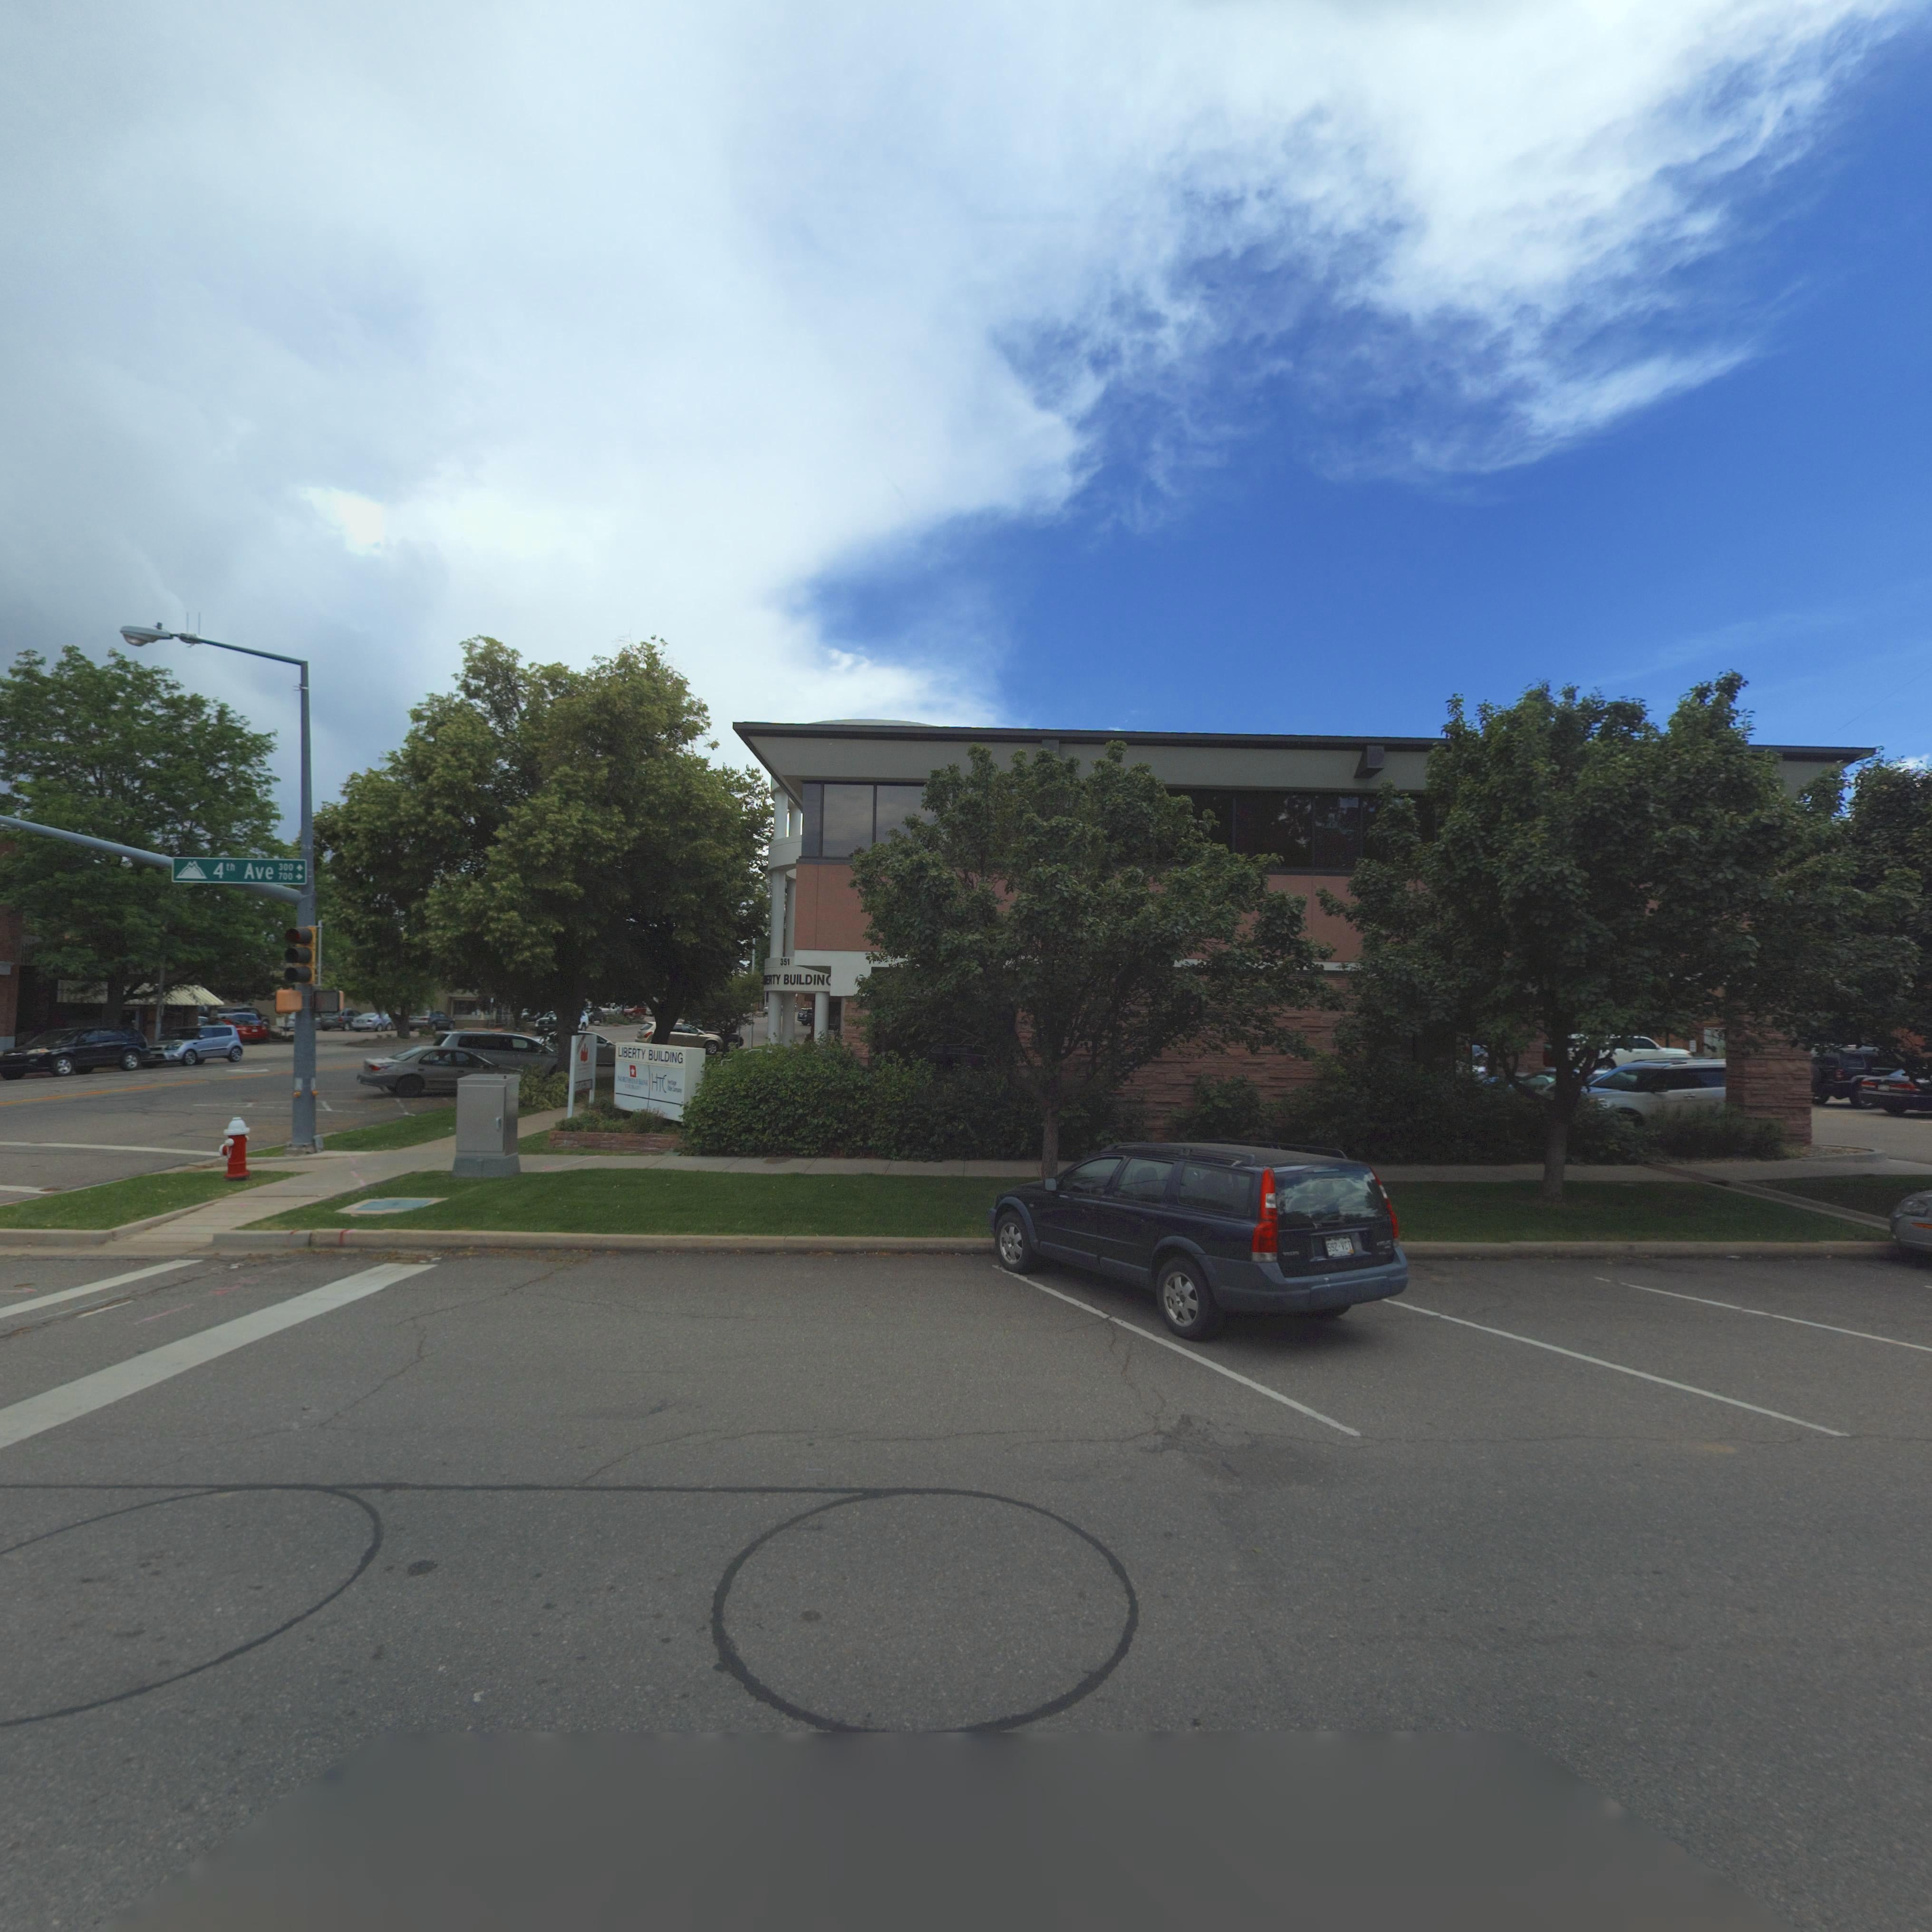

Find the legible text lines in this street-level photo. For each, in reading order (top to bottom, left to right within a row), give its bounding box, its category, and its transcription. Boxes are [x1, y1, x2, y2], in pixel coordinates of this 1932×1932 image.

[213, 862, 274, 880] StreetName: 4th Ave
[278, 863, 293, 871] StreetNumber: 300
[278, 872, 303, 880] StreetNumberRange: 700 ->
[780, 958, 790, 966] StreetNumber: 351
[617, 1075, 648, 1086] BusinessName: NORT***A* BANK
[651, 1072, 667, 1093] BusinessName: HTC